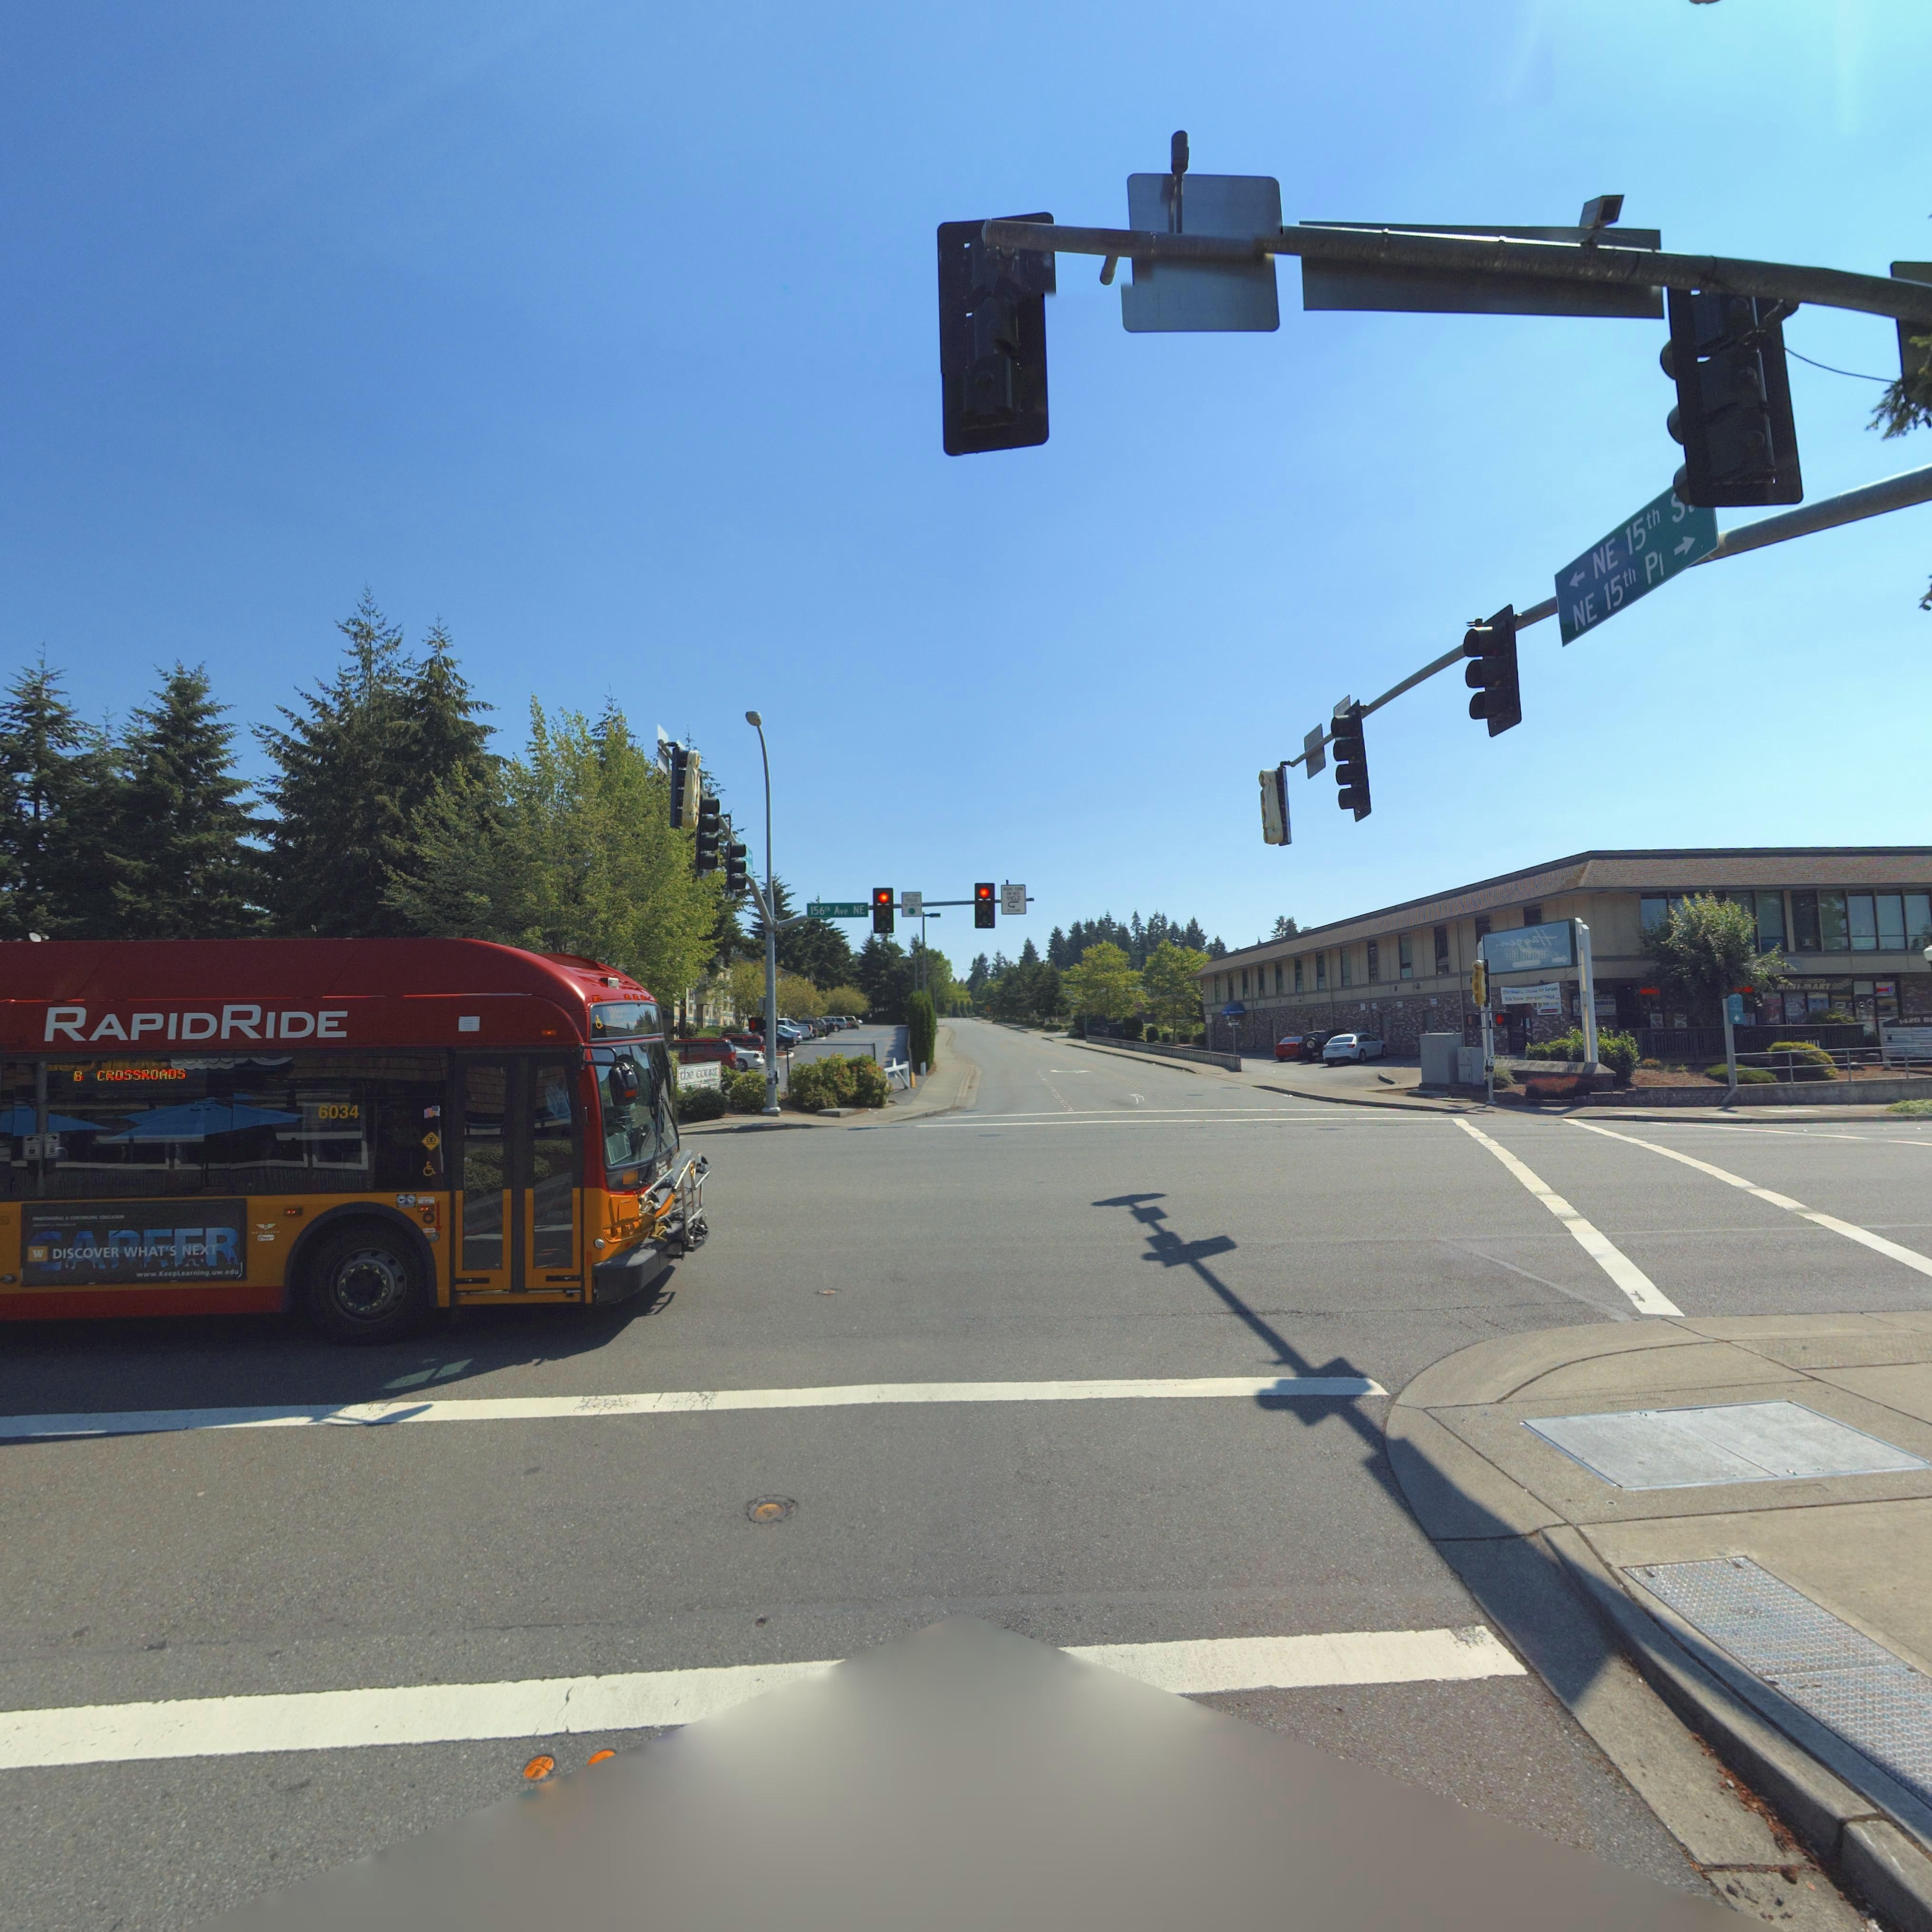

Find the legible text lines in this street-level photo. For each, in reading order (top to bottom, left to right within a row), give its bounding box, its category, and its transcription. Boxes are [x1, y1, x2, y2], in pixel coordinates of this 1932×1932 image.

[1589, 504, 1662, 583] StreetName: NE 15th
[1570, 544, 1666, 635] StreetName: NE 15th Pl
[1005, 894, 1023, 901] TrafficSign: YIELD
[811, 906, 864, 914] StreetName: 156 Ave NE
[37, 1000, 356, 1047] BusinessName: RapidRide
[316, 1101, 363, 1122] None: 6034
[621, 1170, 638, 1184] LicensePlate: 6034
[50, 1245, 219, 1259] None: DISCOVER WHAT'S NEXT